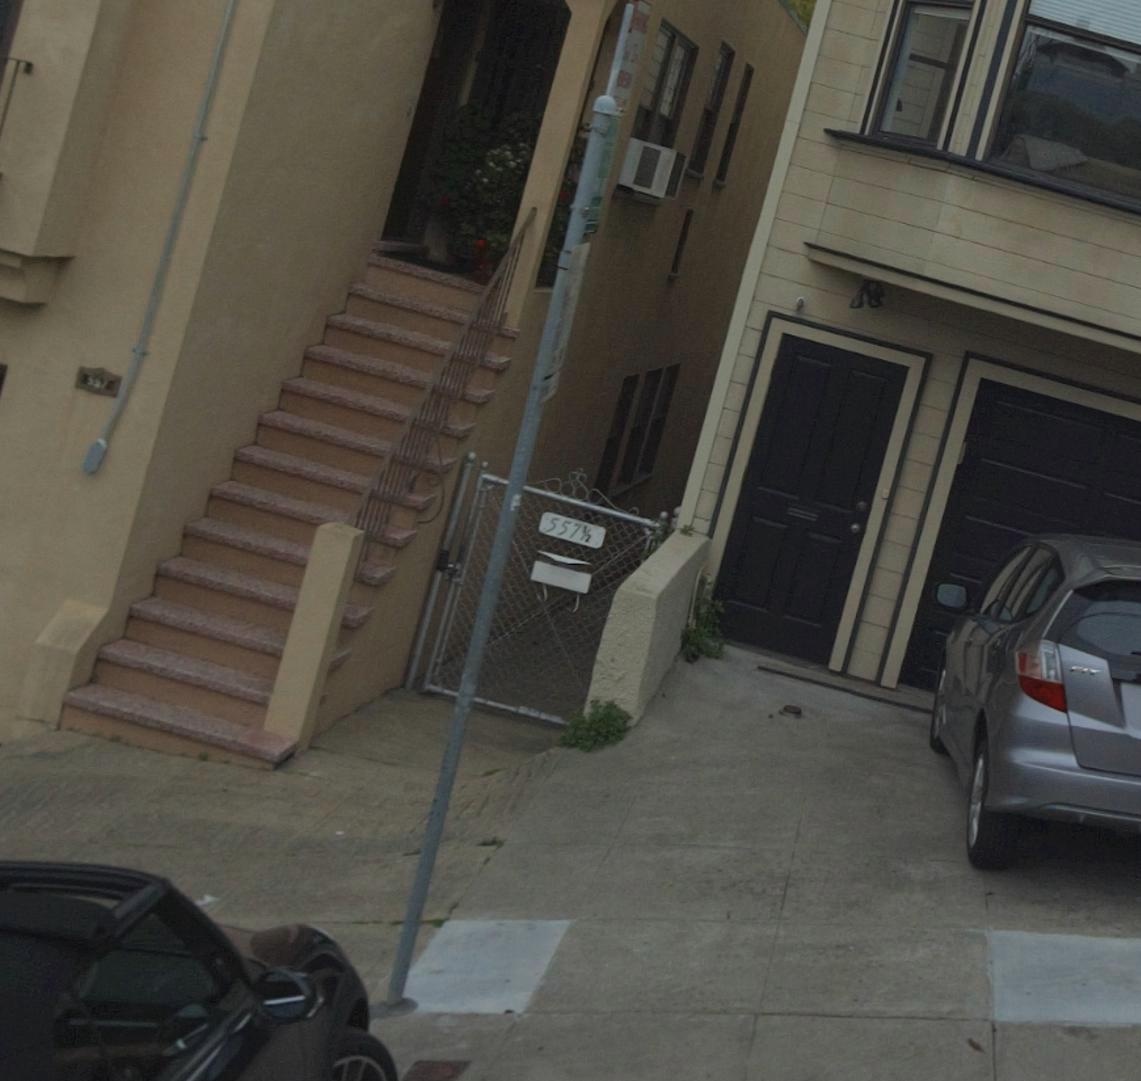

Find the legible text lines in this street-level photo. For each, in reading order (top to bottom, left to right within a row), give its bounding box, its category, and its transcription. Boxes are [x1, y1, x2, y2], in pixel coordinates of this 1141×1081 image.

[85, 375, 111, 390] StreetNumber: 557
[545, 516, 595, 546] StreetNumber: 5571/2
[1067, 664, 1103, 678] None: FIT